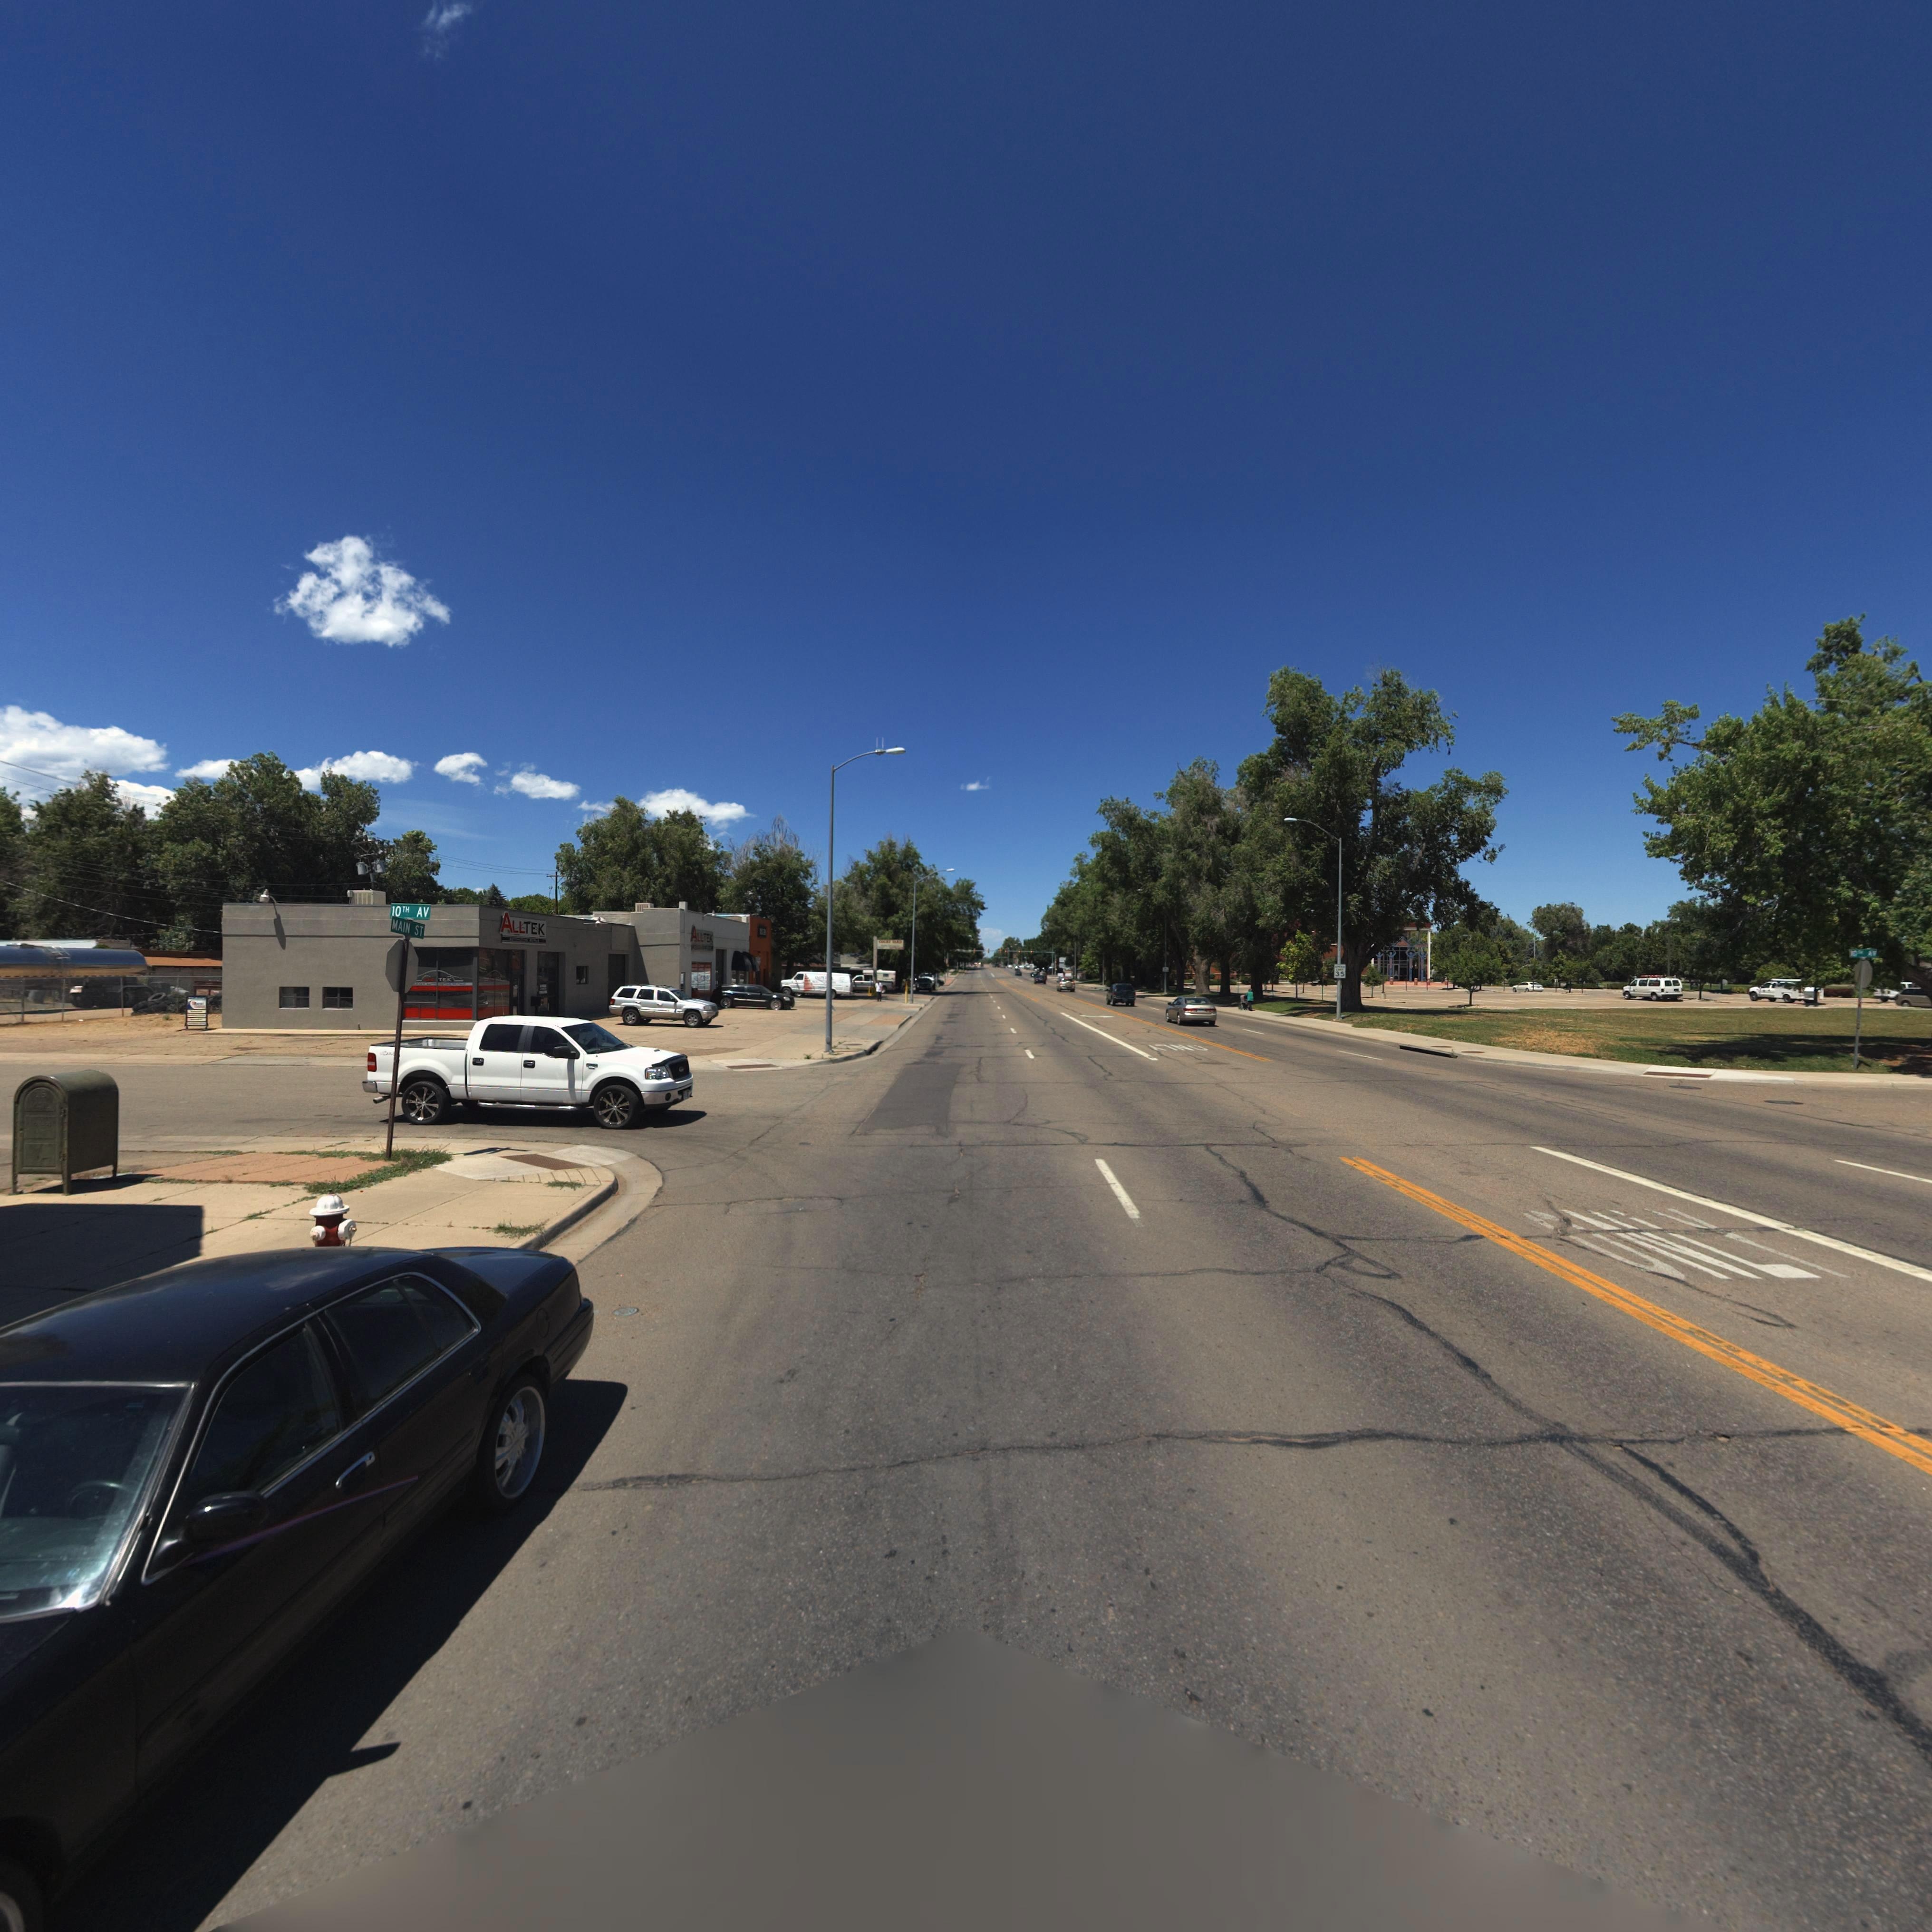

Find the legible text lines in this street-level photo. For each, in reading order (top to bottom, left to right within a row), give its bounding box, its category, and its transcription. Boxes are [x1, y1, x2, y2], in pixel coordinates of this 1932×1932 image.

[391, 906, 429, 918] StreetName: 10TH AV
[391, 918, 424, 937] StreetName: MAIN ST
[499, 910, 545, 935] BusinessName: ALLTEK
[509, 937, 539, 942] BusinessName: AUTOMOTIVE REPAIR
[690, 926, 712, 942] BusinessName: ALLTEK
[879, 939, 902, 944] BusinessName: COURT YARD
[1849, 949, 1877, 956] StreetName: 10TH AV
[422, 977, 452, 982] BusinessName: ALL TEK